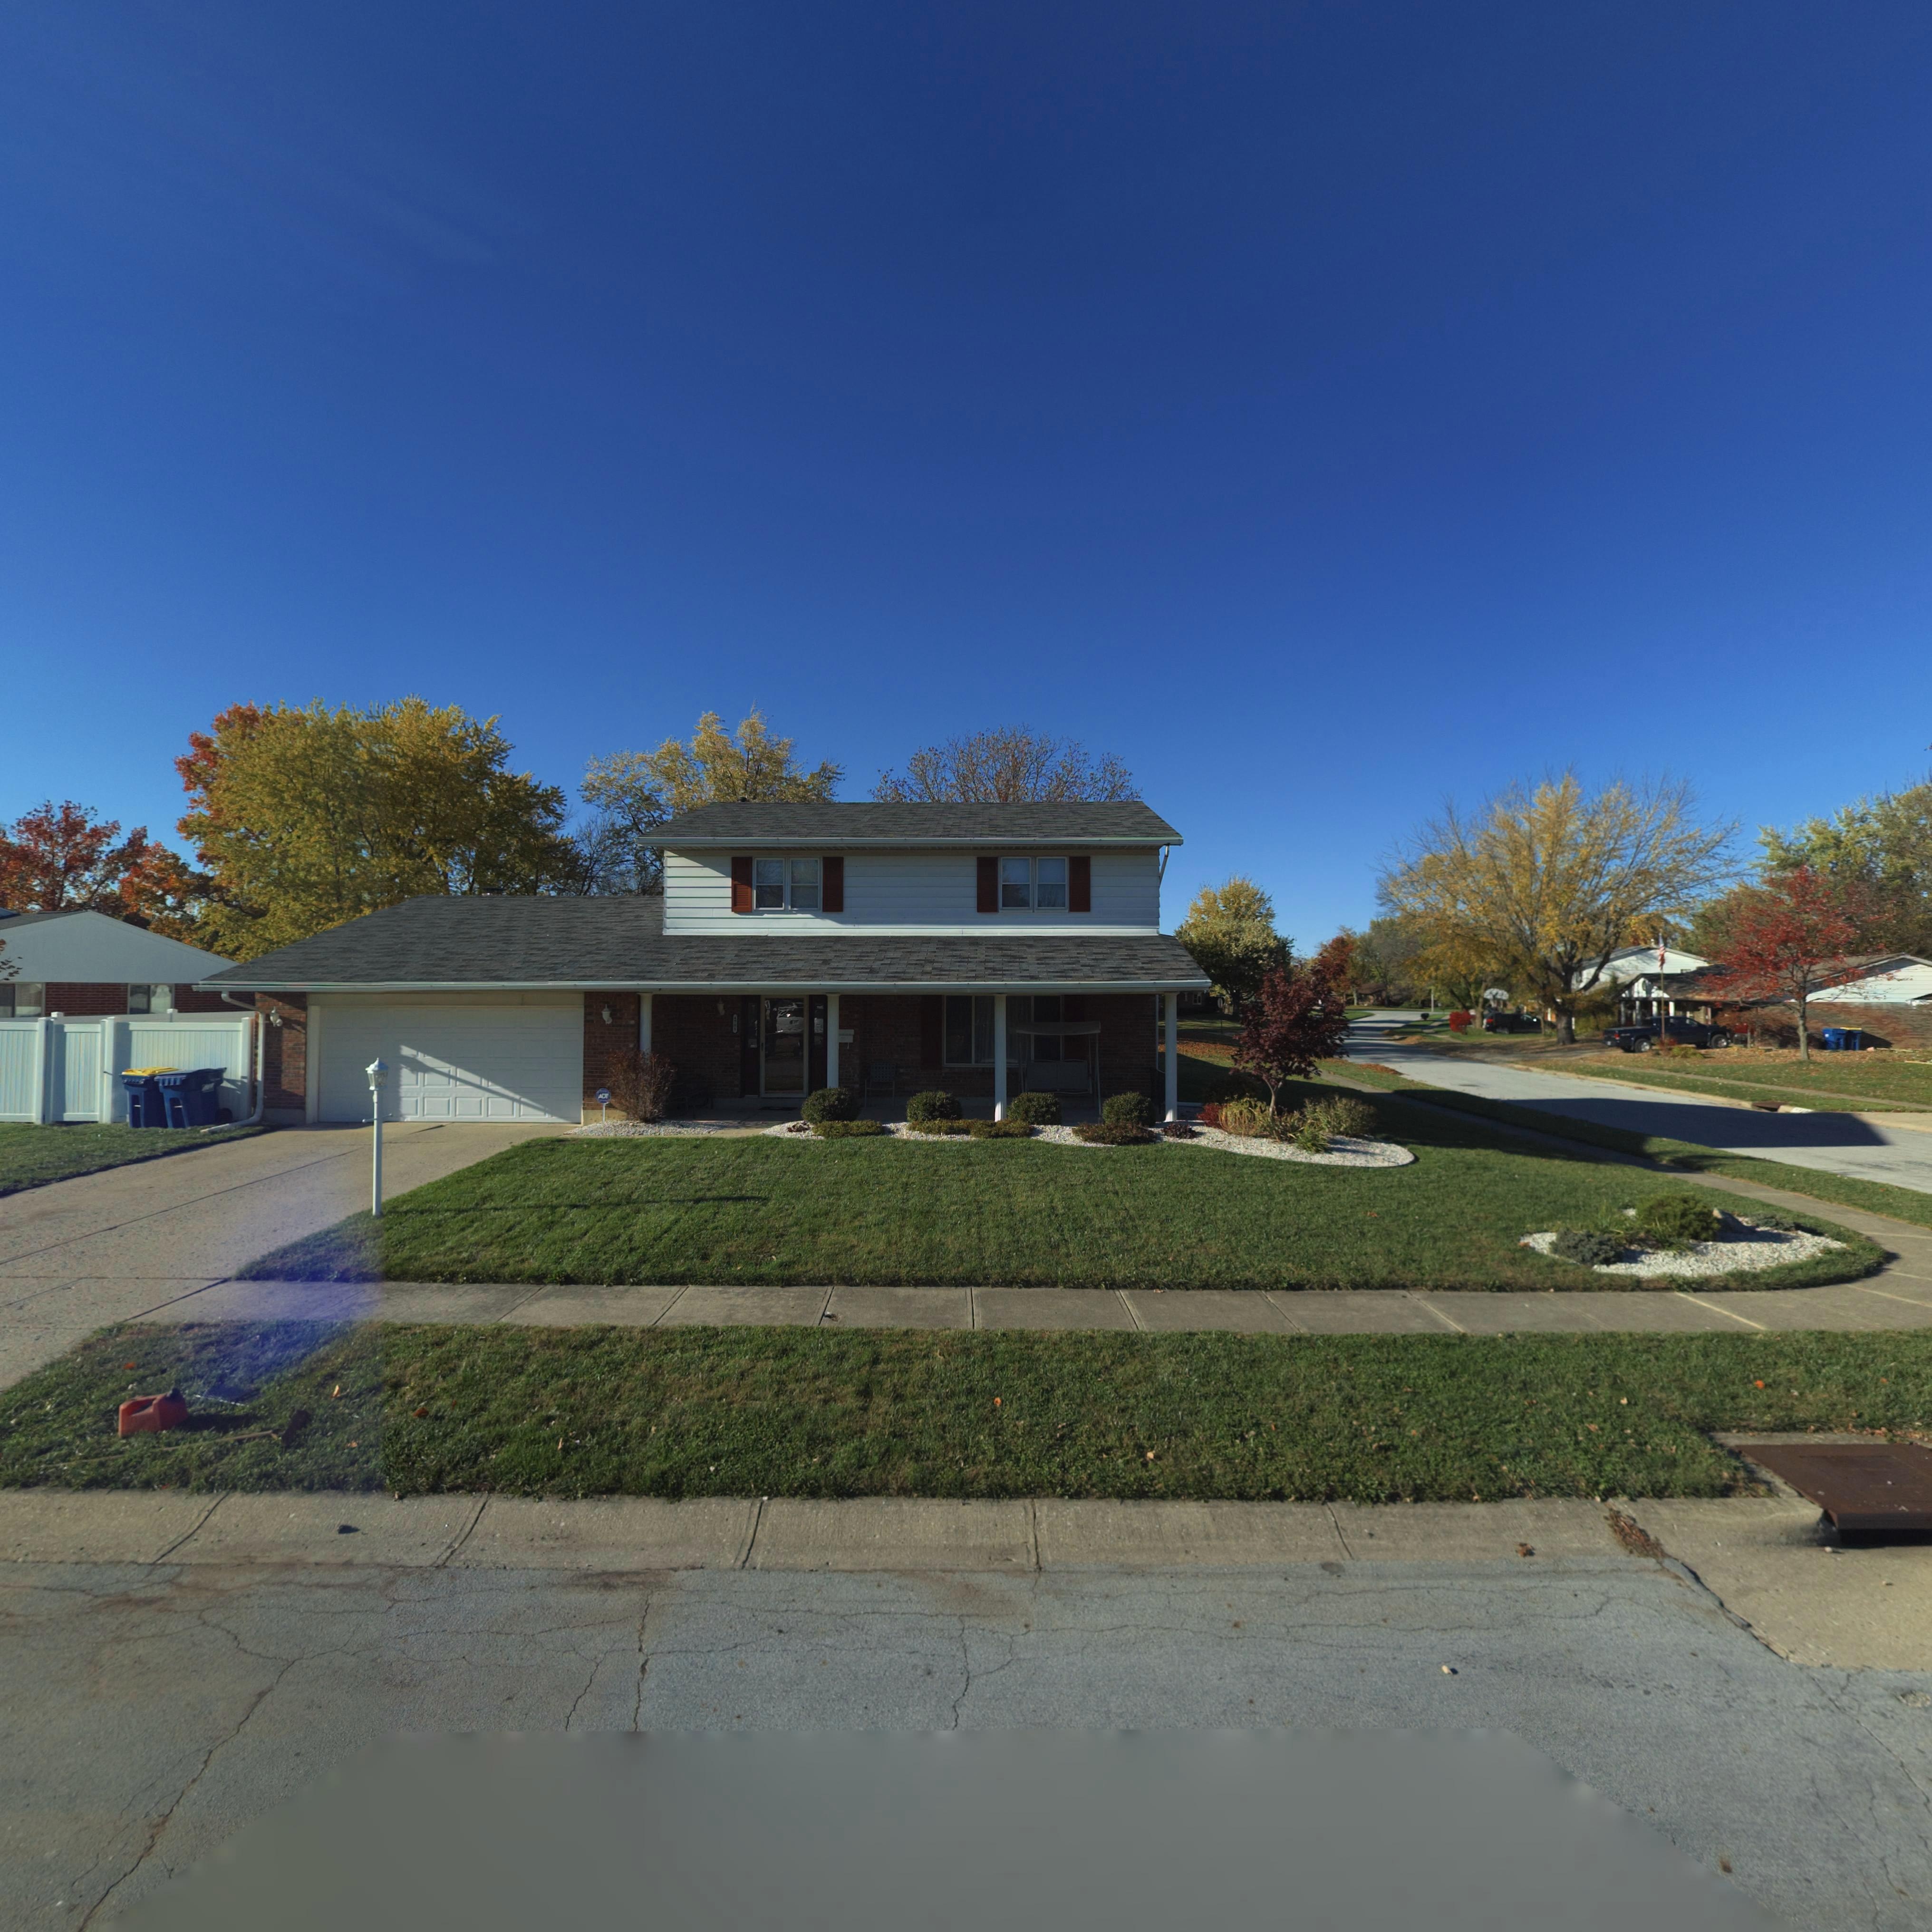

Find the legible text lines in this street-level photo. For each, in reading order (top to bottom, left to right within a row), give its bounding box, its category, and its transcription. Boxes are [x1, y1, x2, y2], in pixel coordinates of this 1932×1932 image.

[733, 1015, 737, 1032] StreetNumber: *701